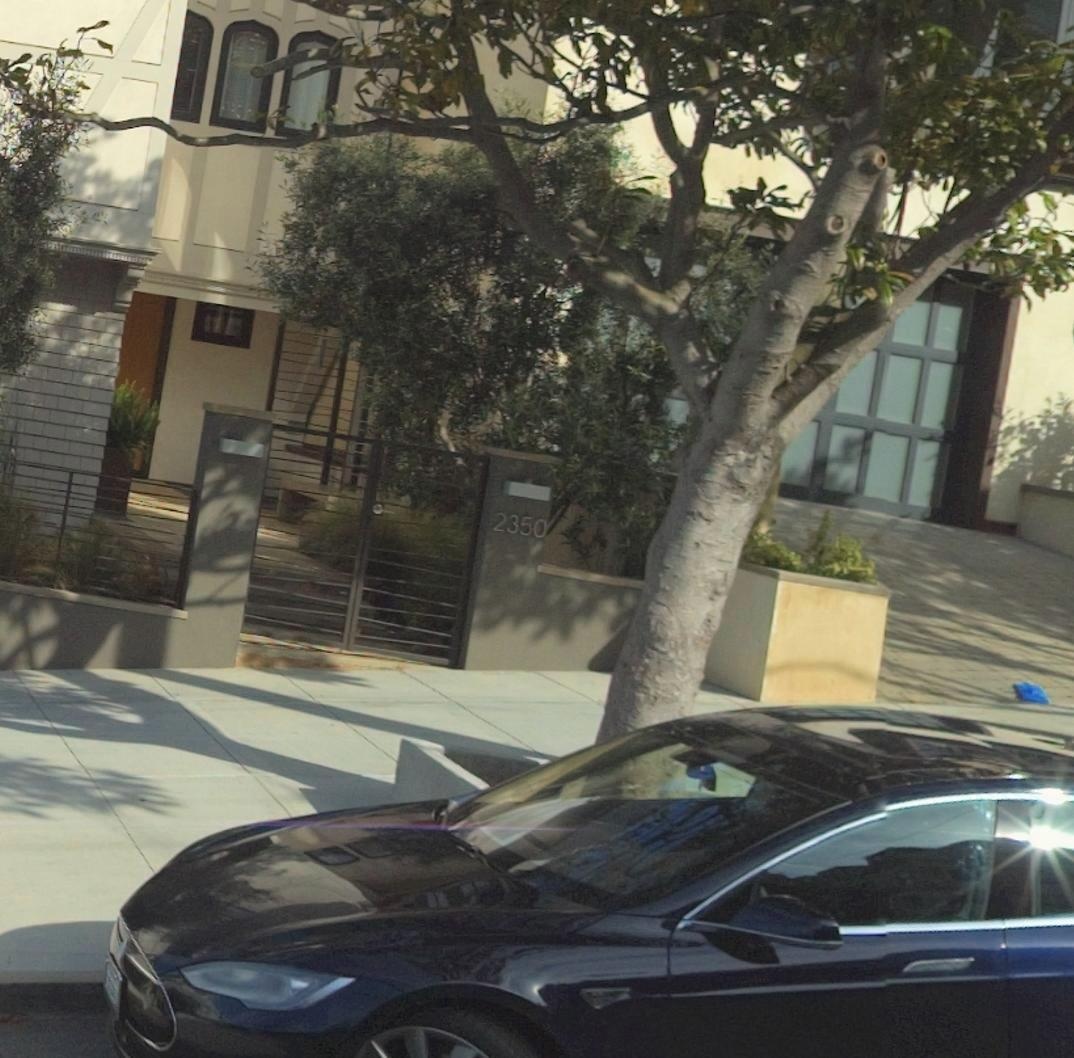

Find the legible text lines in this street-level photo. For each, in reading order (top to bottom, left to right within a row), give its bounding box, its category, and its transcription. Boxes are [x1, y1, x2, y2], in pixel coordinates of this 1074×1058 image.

[490, 510, 549, 541] StreetNumber: 2350